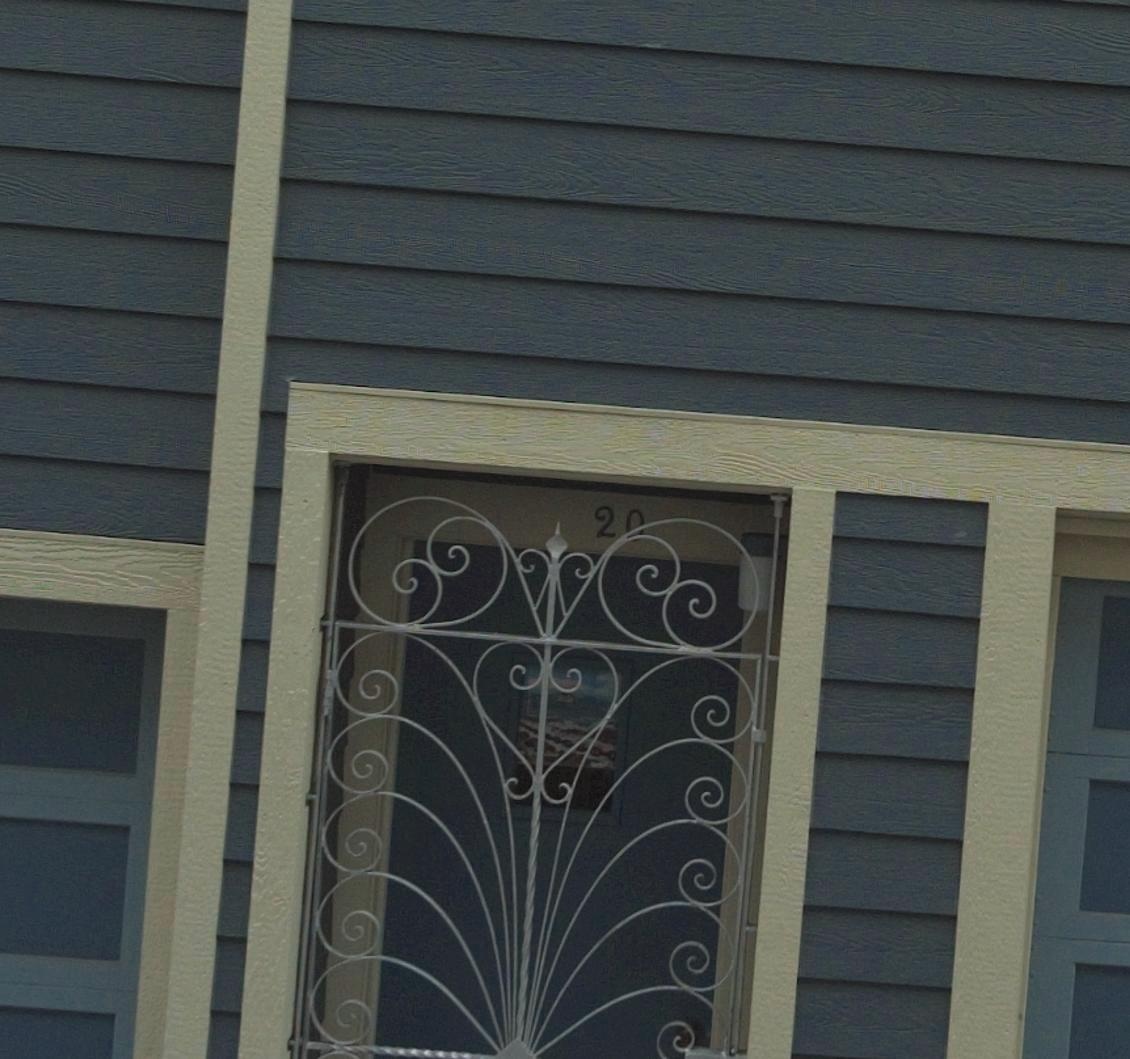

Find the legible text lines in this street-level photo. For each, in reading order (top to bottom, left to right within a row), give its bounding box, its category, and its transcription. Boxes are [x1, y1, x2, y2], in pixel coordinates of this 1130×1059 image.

[590, 500, 622, 544] StreetNumber: 2